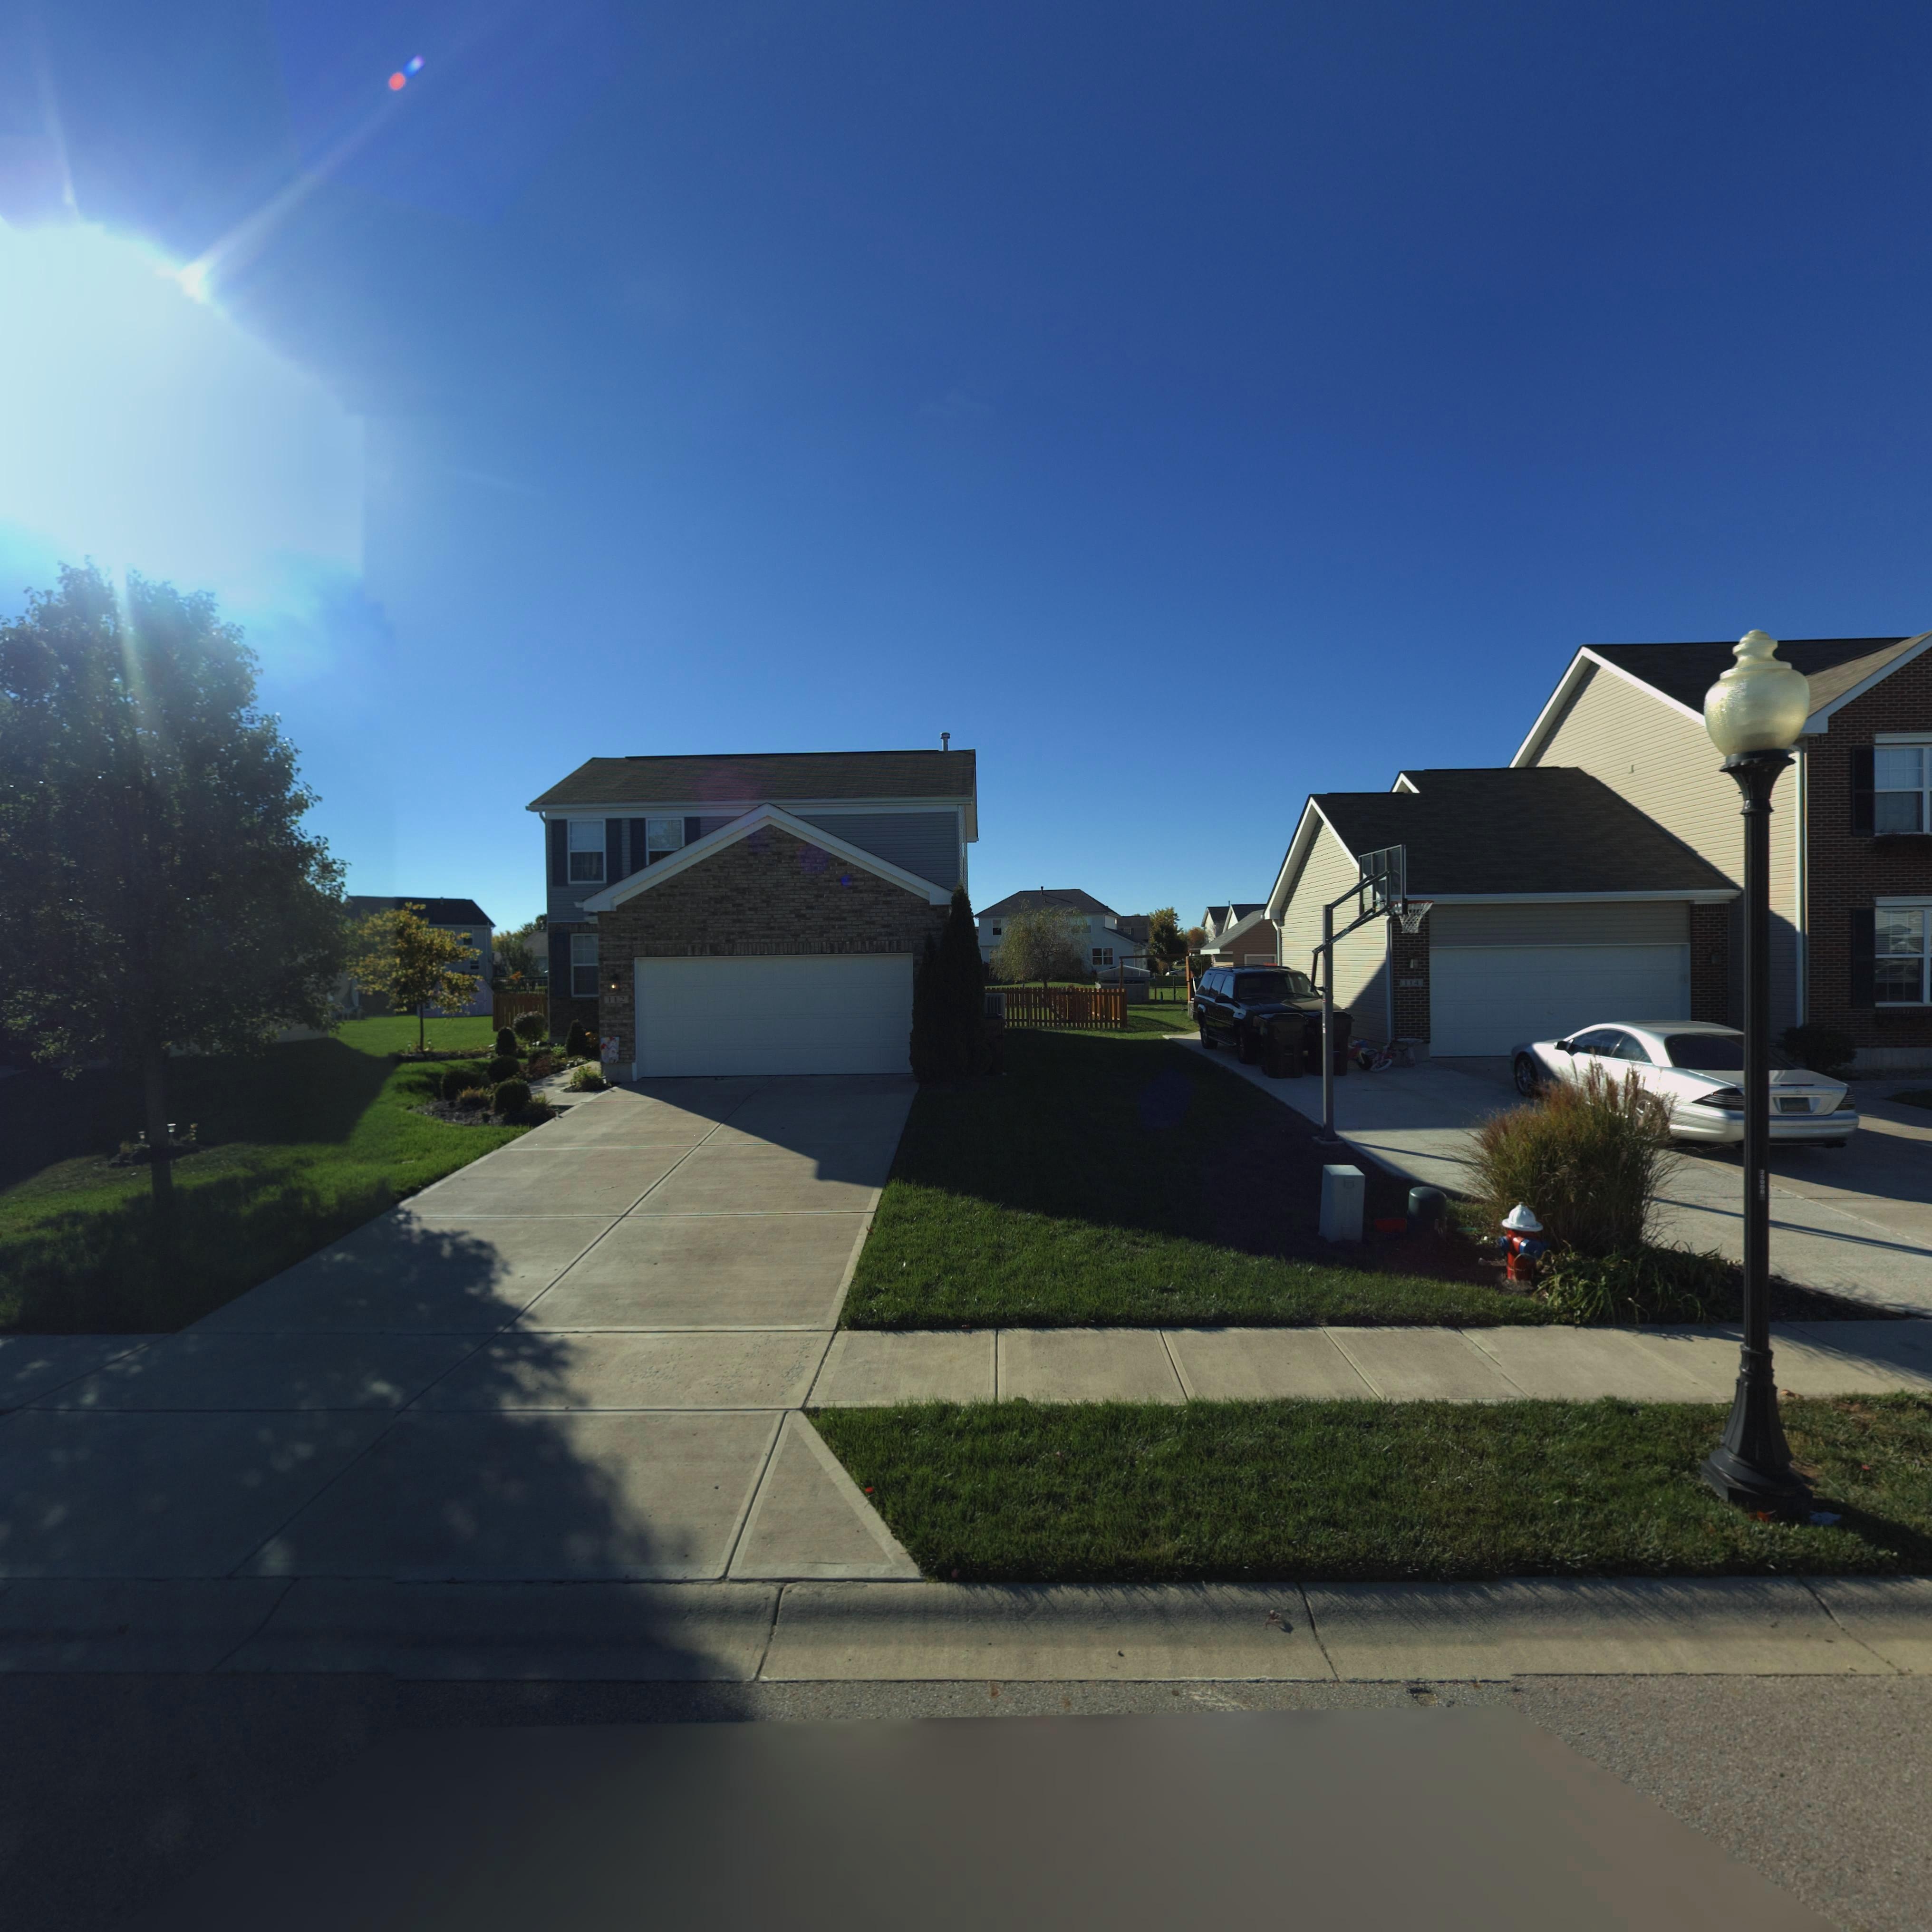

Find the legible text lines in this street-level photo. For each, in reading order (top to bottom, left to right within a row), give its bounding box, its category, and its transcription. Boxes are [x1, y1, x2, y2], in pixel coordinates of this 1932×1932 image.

[1404, 979, 1420, 987] StreetNumber: 114
[608, 995, 626, 1004] StreetNumber: 112